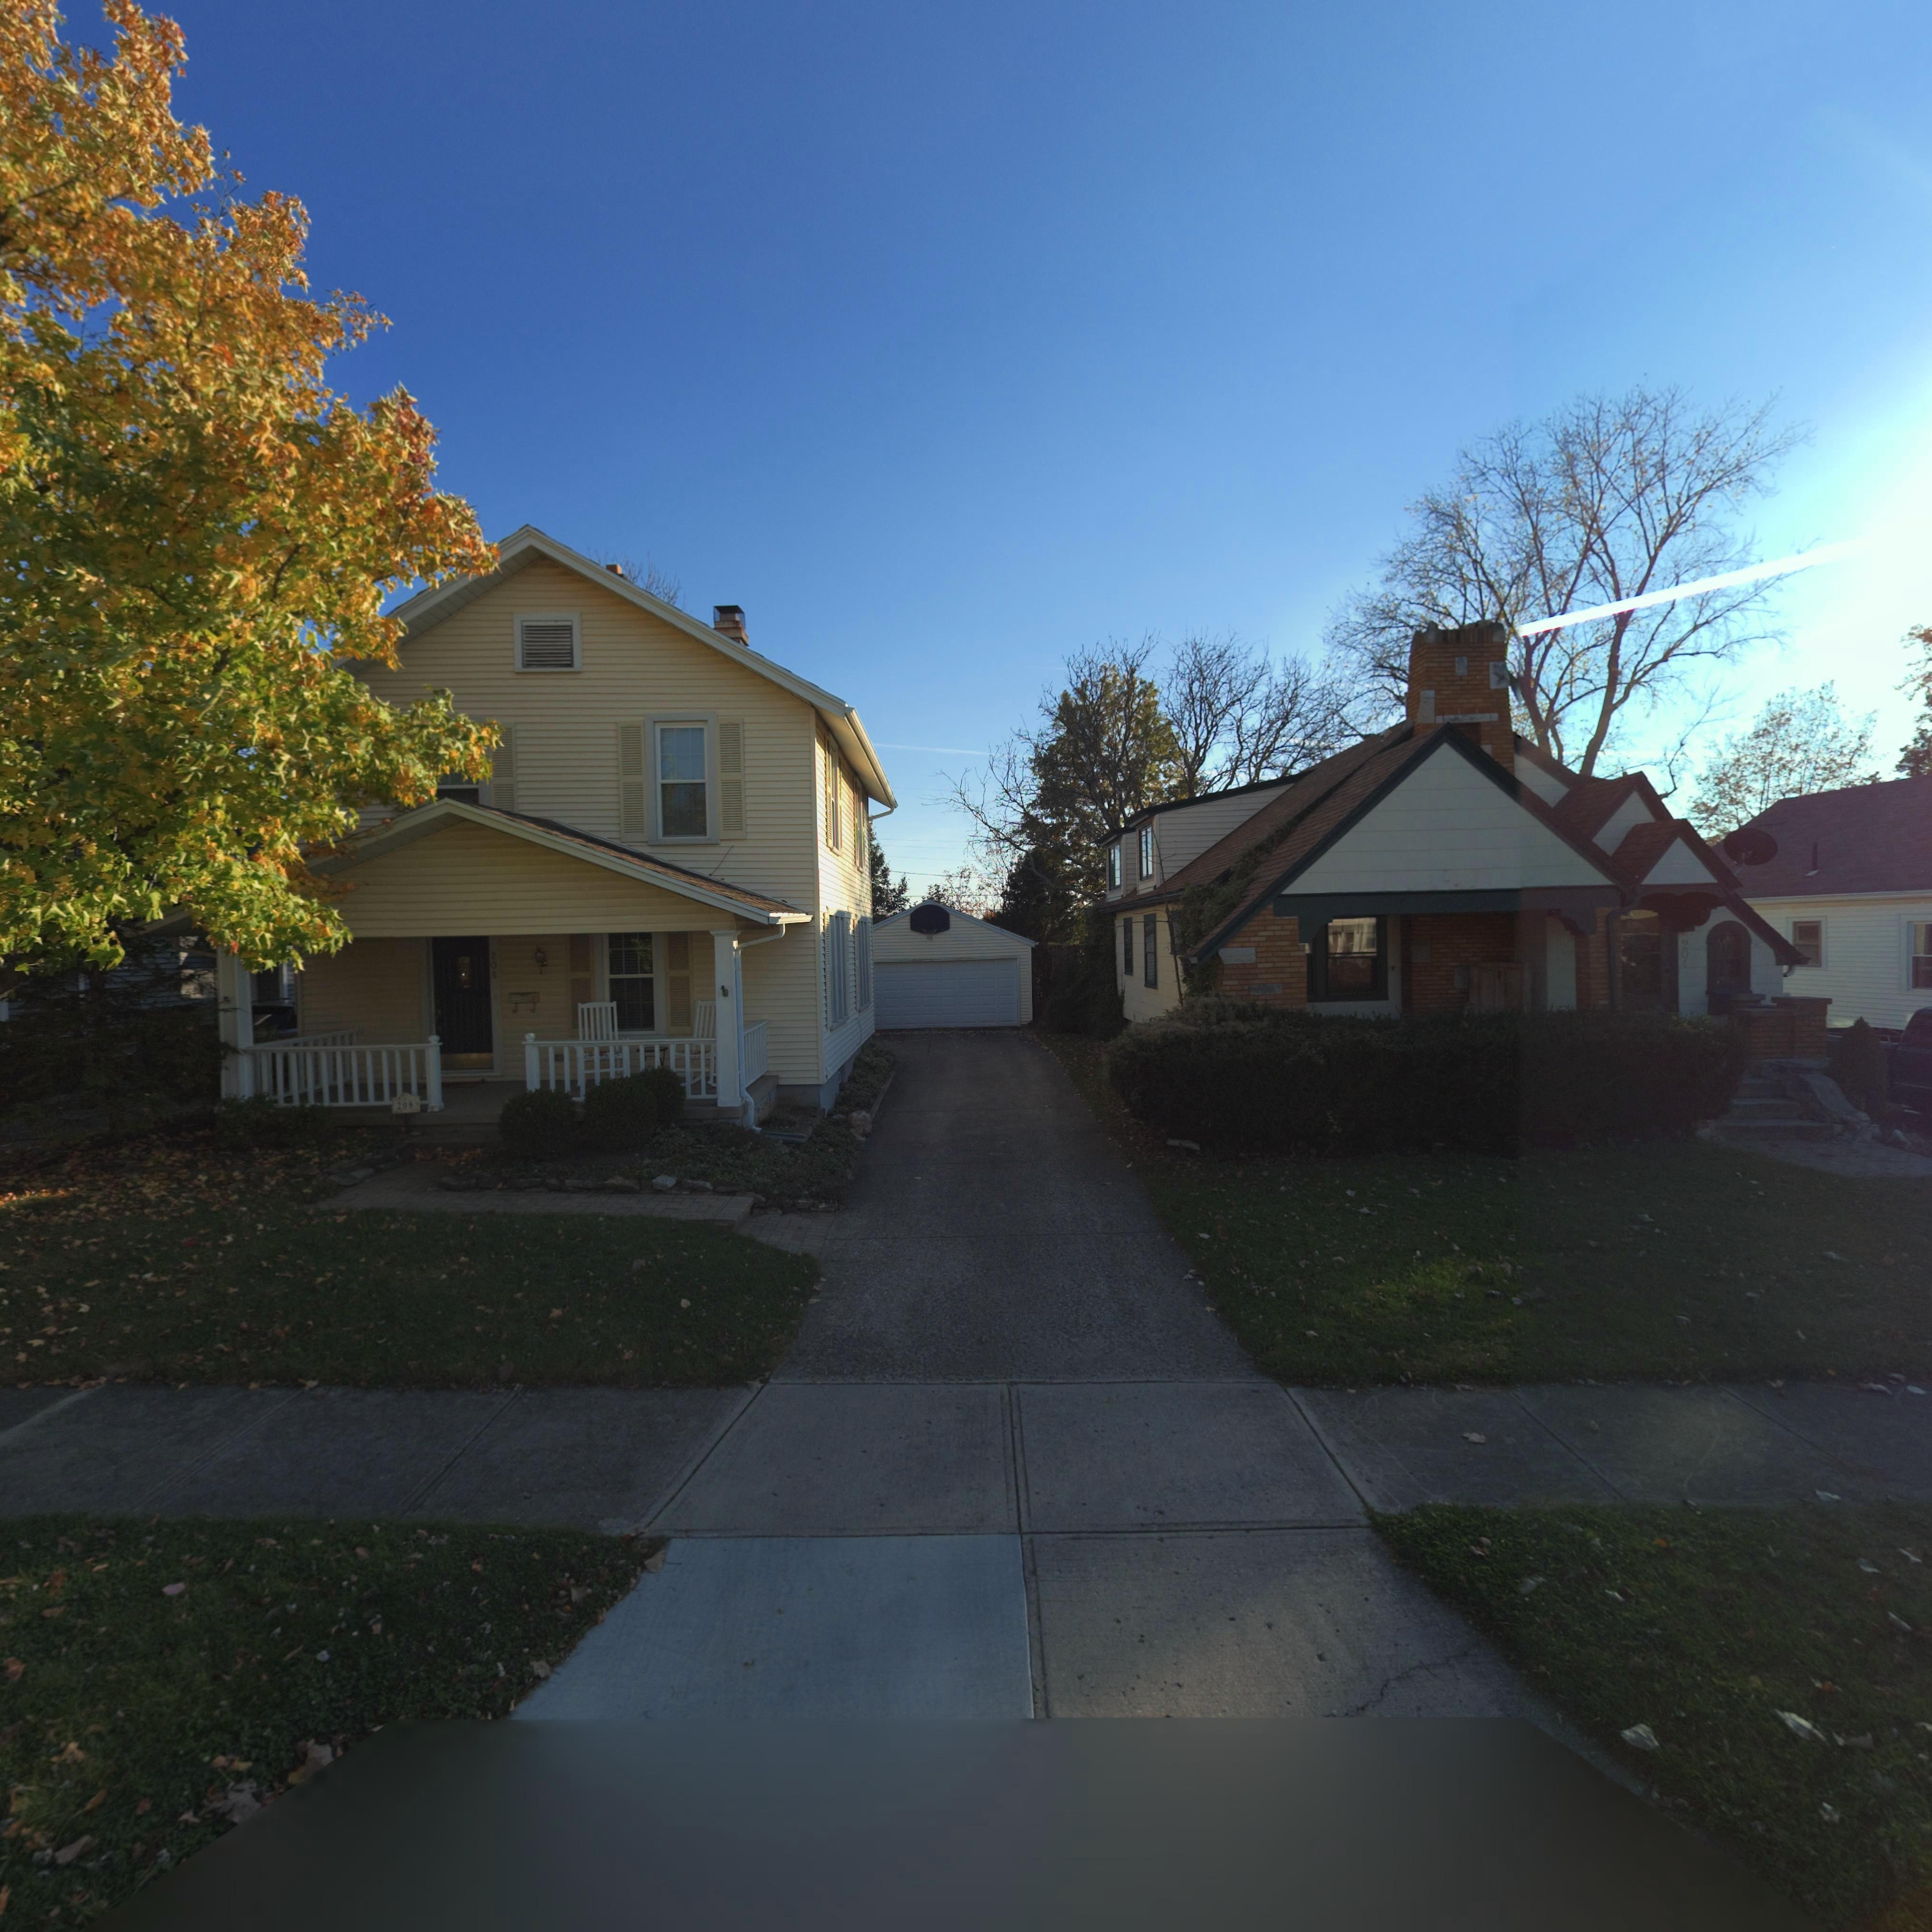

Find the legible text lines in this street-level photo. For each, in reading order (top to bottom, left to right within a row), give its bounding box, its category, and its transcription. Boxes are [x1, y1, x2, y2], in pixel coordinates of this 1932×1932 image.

[490, 950, 498, 980] StreetNumber: 208
[1680, 938, 1690, 969] StreetNumber: 204